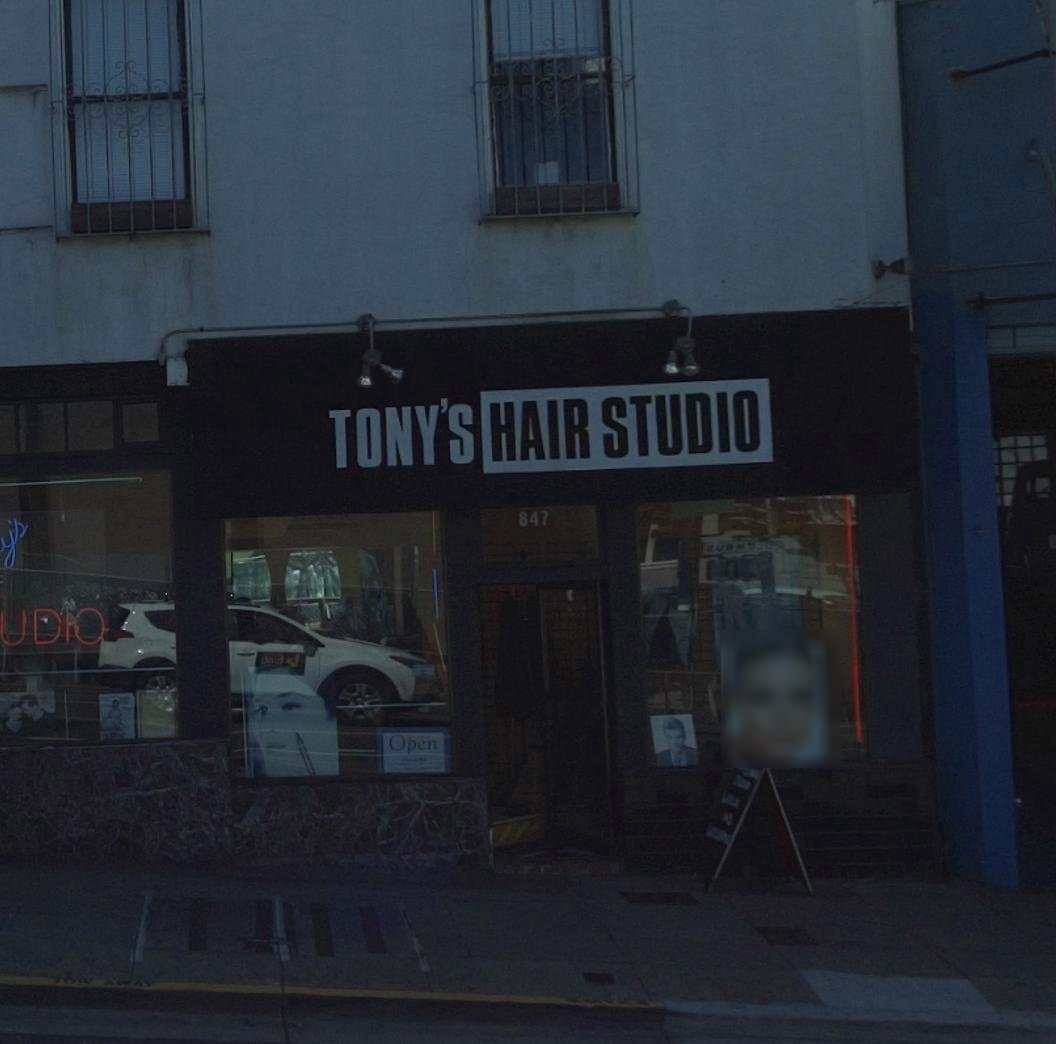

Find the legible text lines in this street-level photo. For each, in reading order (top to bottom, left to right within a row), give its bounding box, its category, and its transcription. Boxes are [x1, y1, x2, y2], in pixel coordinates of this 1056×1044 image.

[326, 387, 762, 472] BusinessName: TONY'S HAIR STUDIO
[516, 509, 551, 529] StreetNumber: 847
[0, 516, 31, 571] None: ys
[32, 606, 107, 647] None: DIO
[388, 732, 439, 756] None: Open